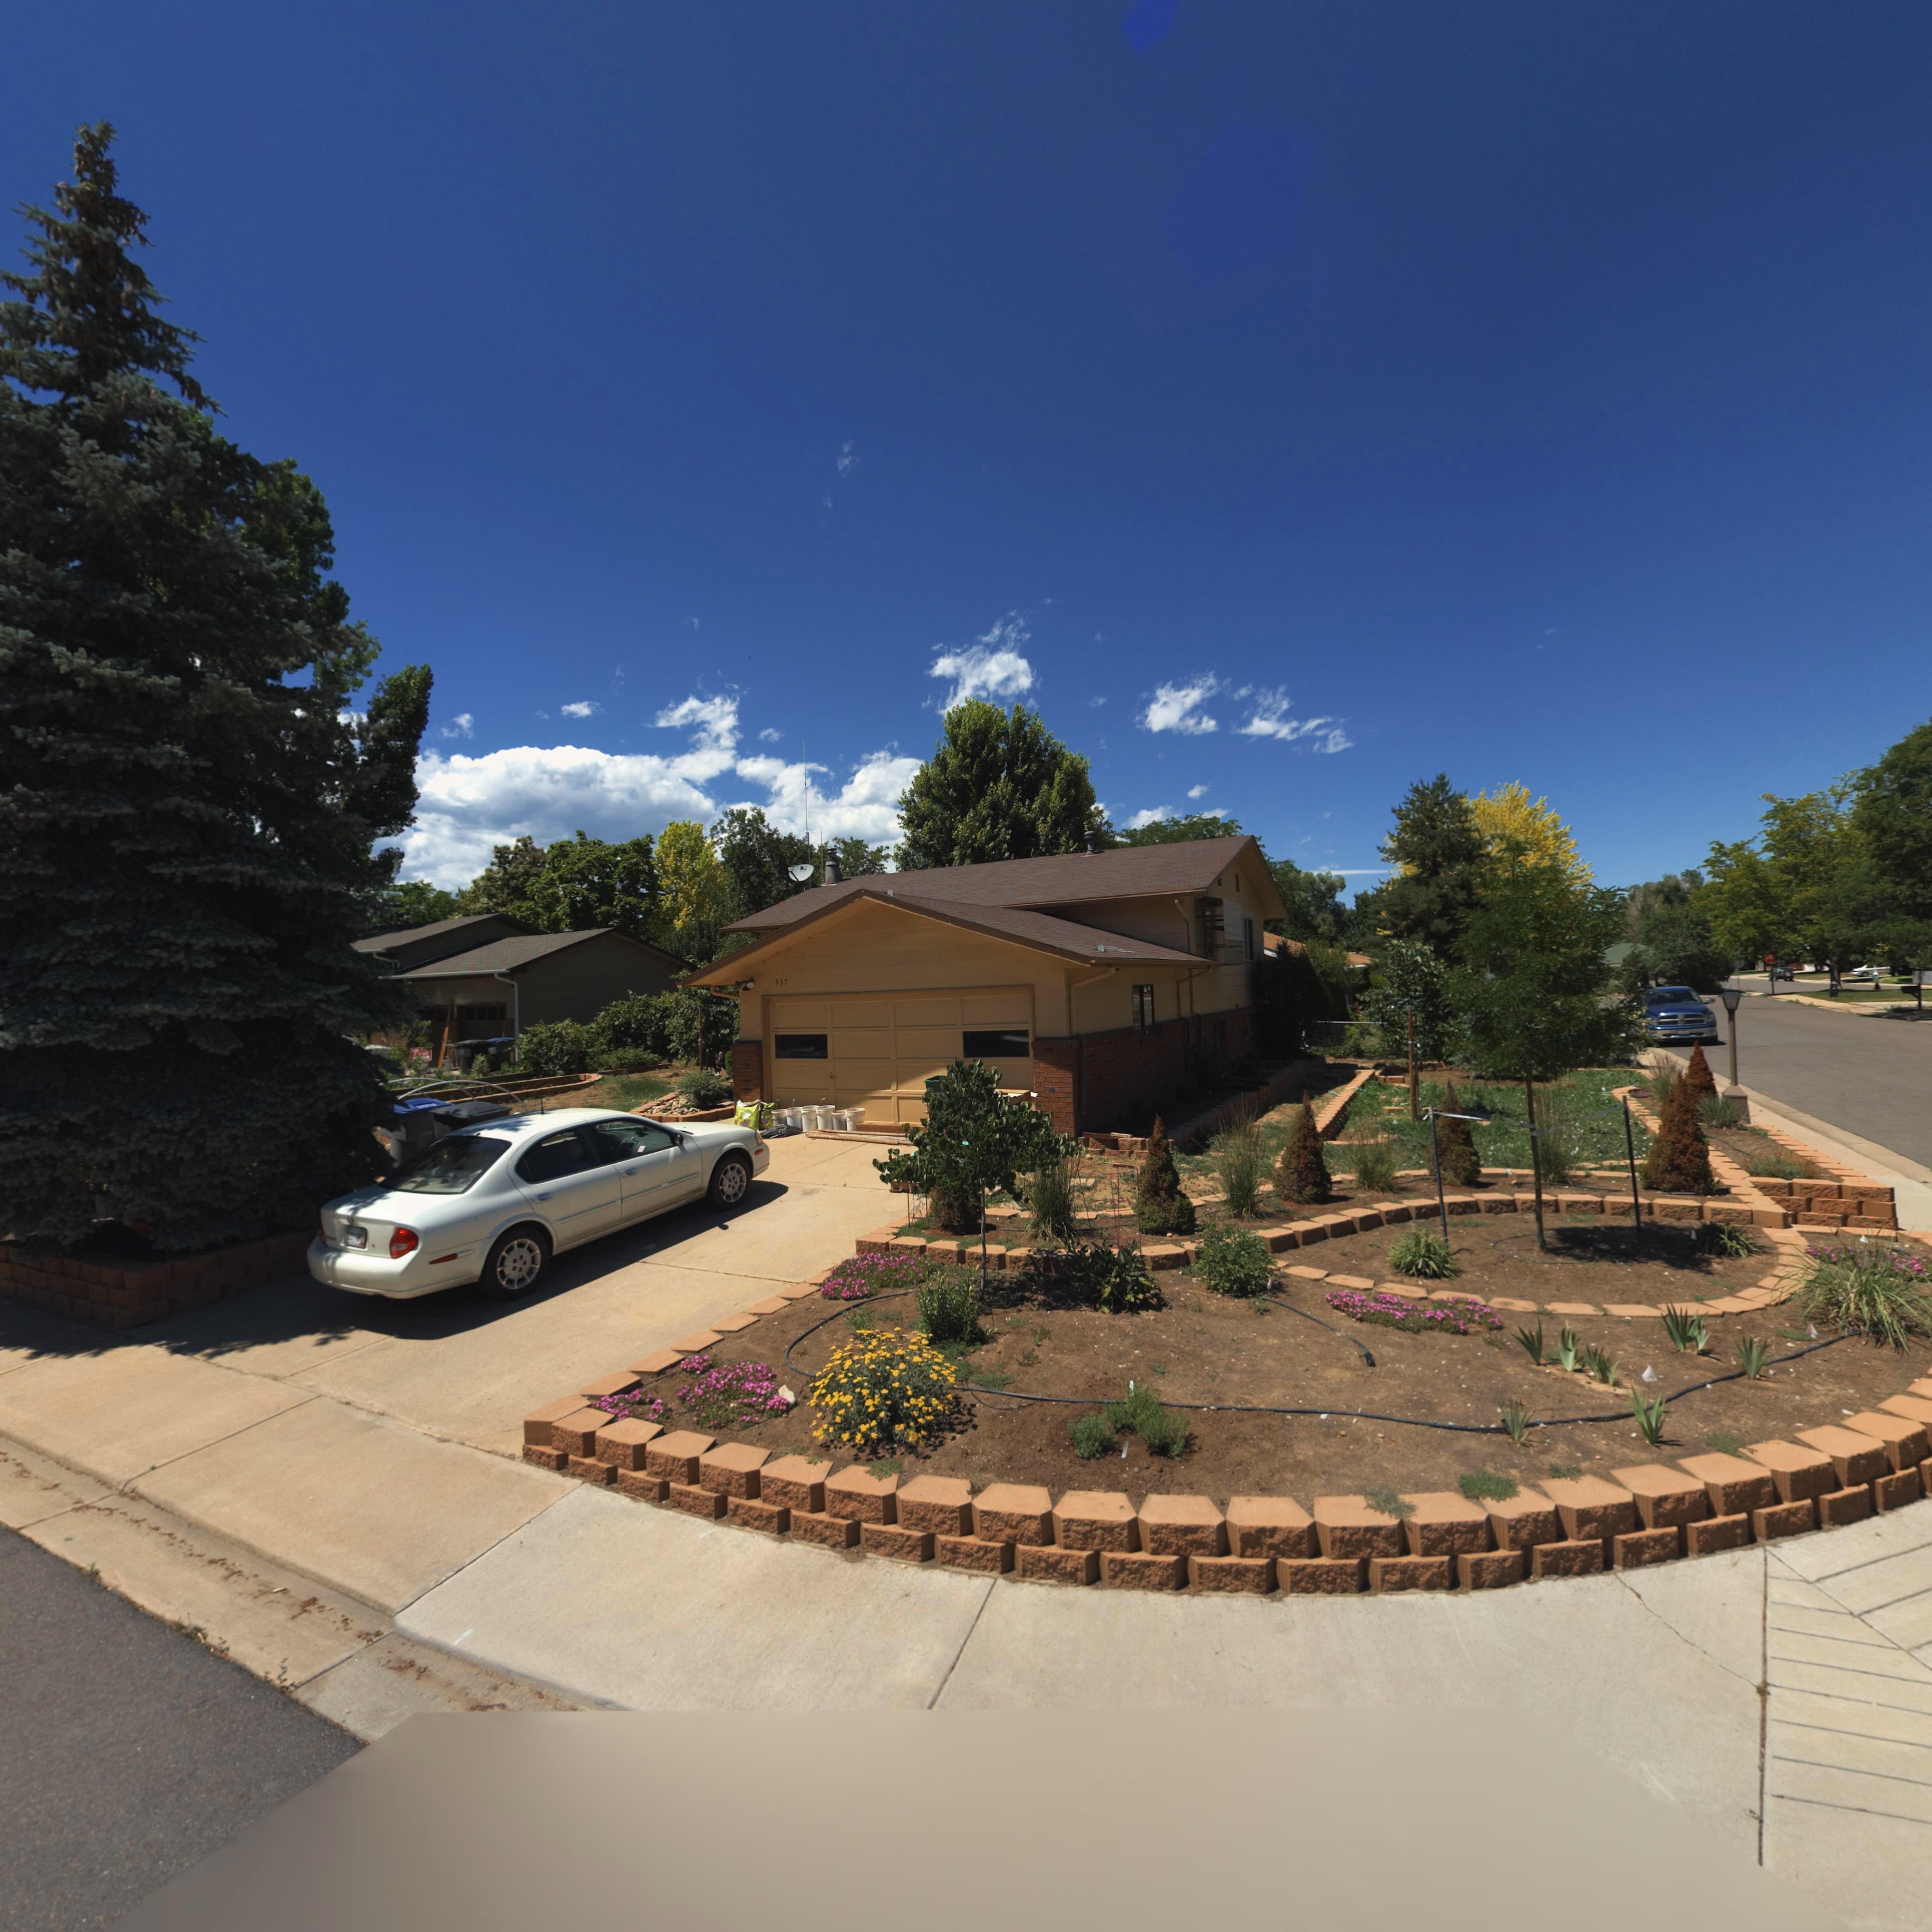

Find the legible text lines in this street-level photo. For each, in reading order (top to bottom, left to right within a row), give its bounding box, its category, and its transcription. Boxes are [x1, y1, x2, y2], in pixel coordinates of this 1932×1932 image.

[775, 978, 788, 986] StreetNumber: 937